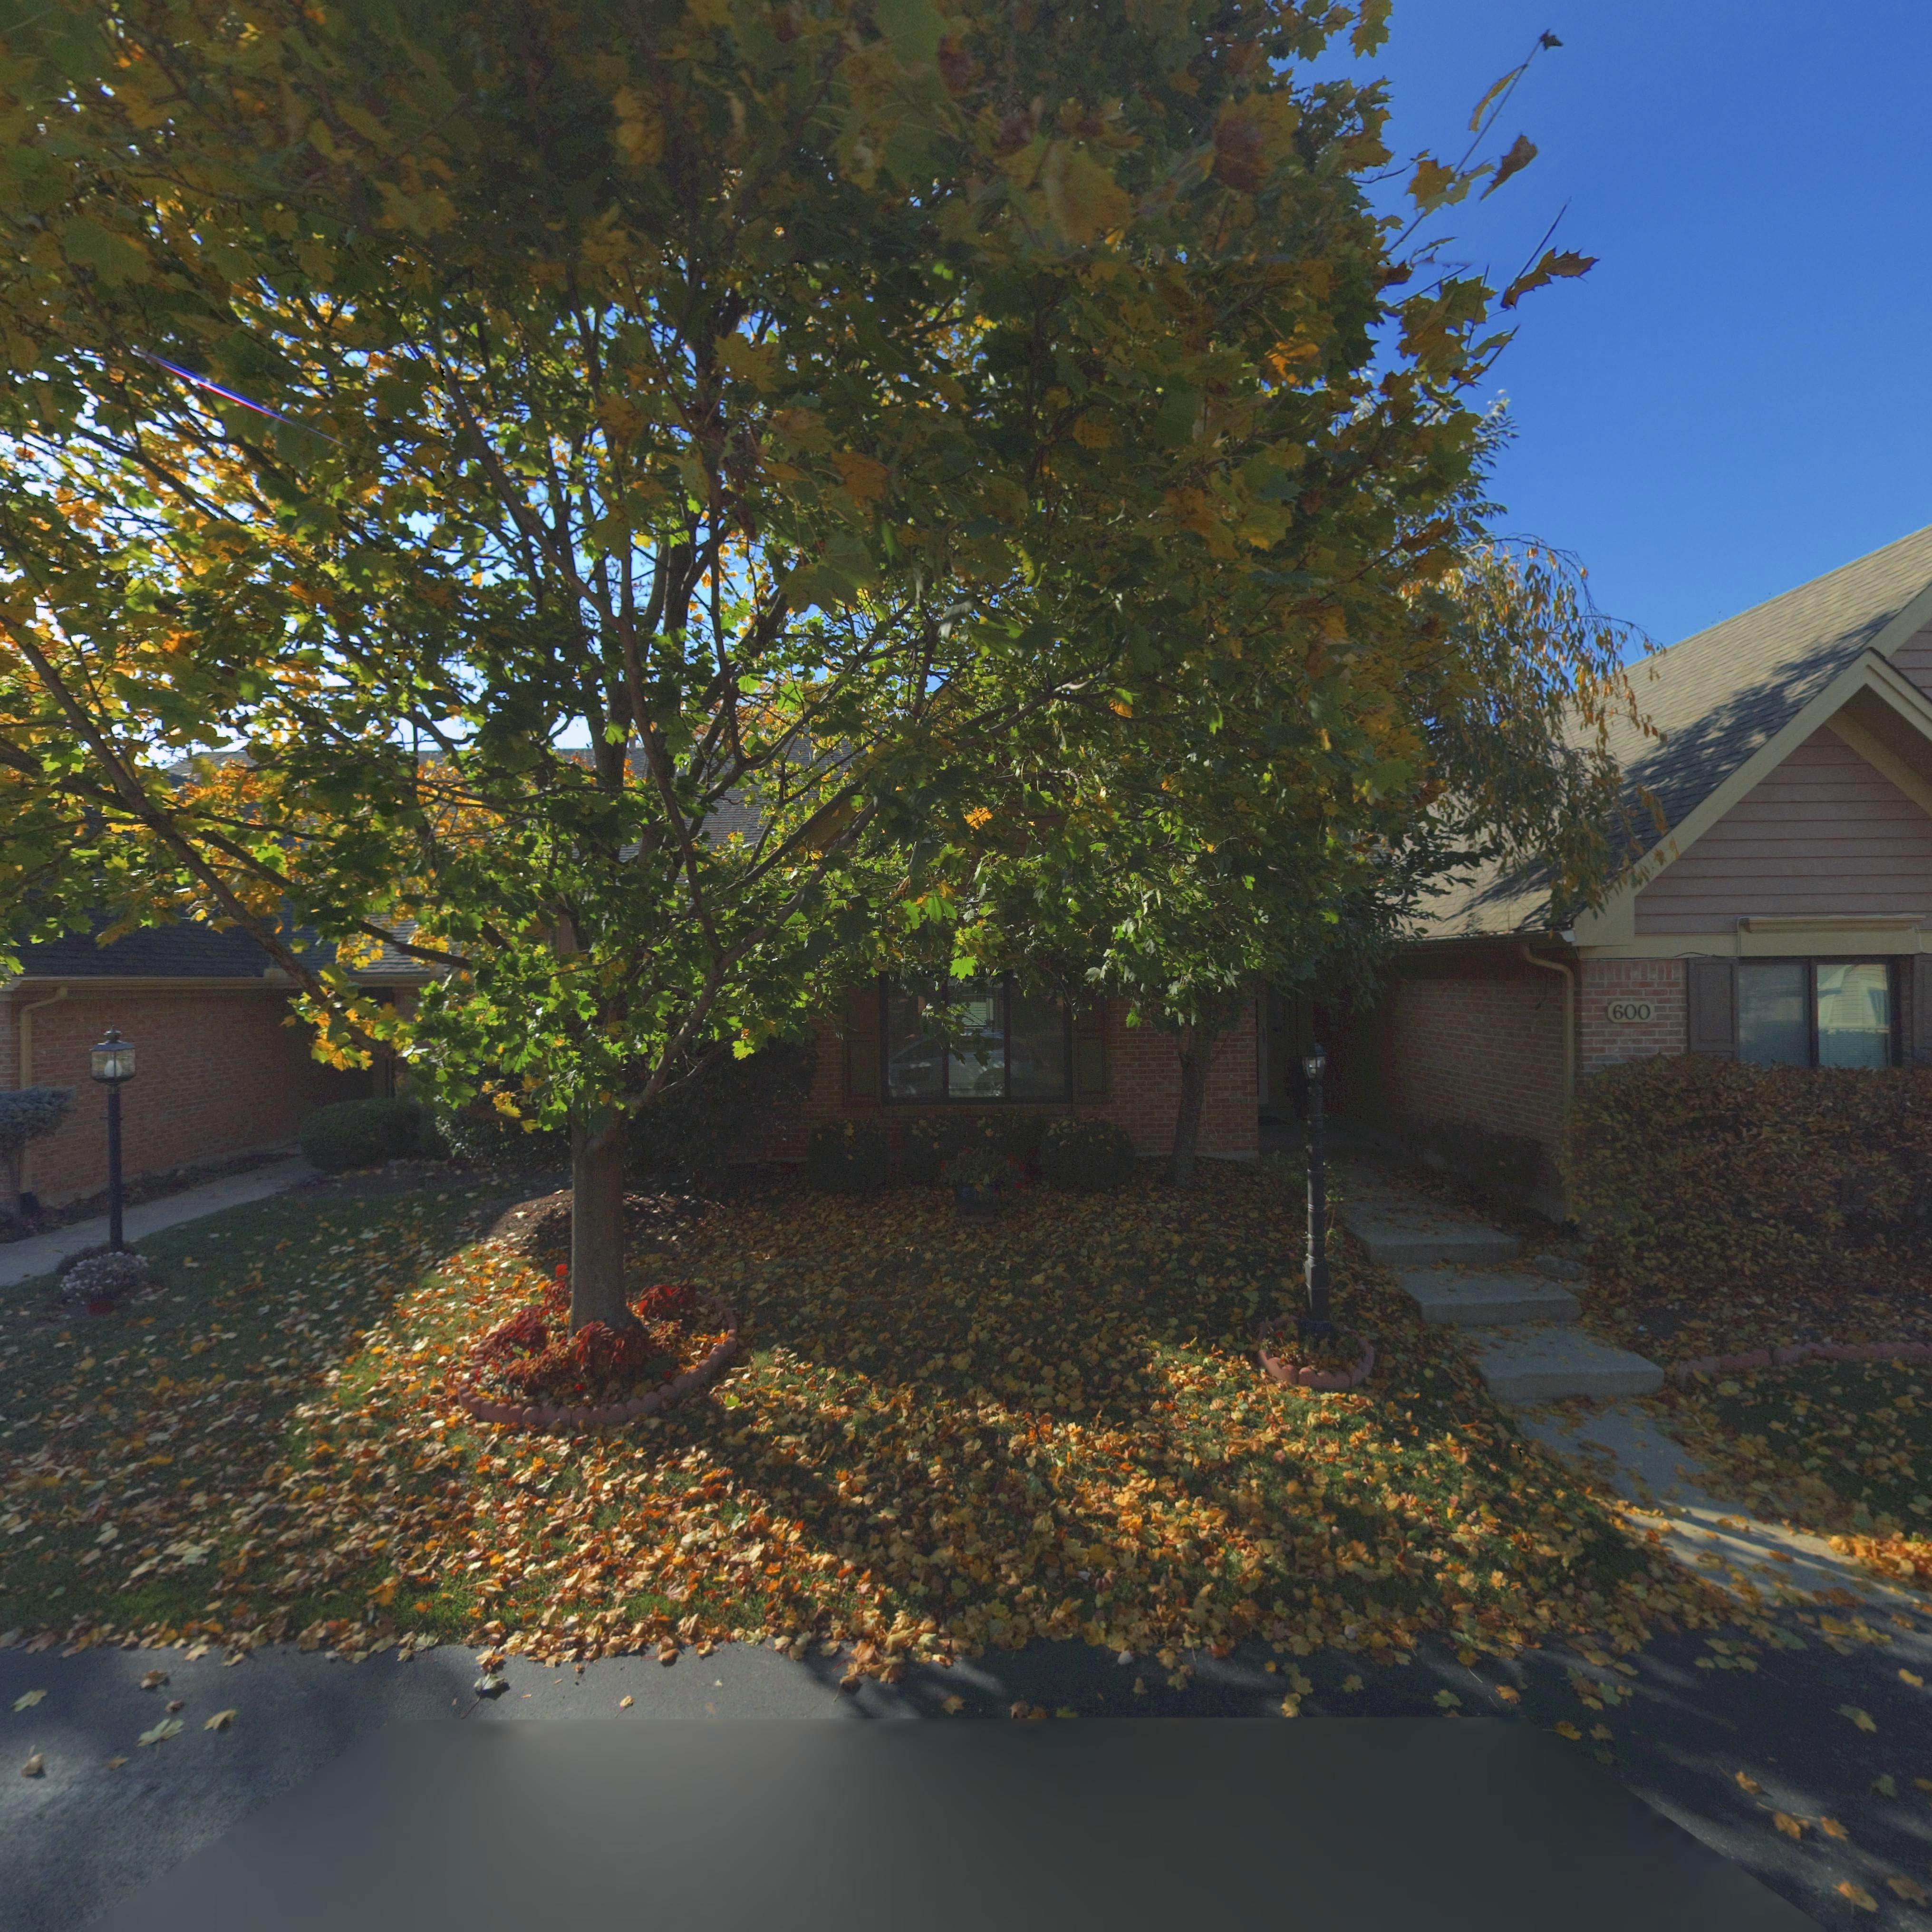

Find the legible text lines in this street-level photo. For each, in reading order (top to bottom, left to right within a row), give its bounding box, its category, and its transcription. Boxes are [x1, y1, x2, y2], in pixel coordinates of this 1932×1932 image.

[1611, 1003, 1652, 1022] StreetNumber: 600